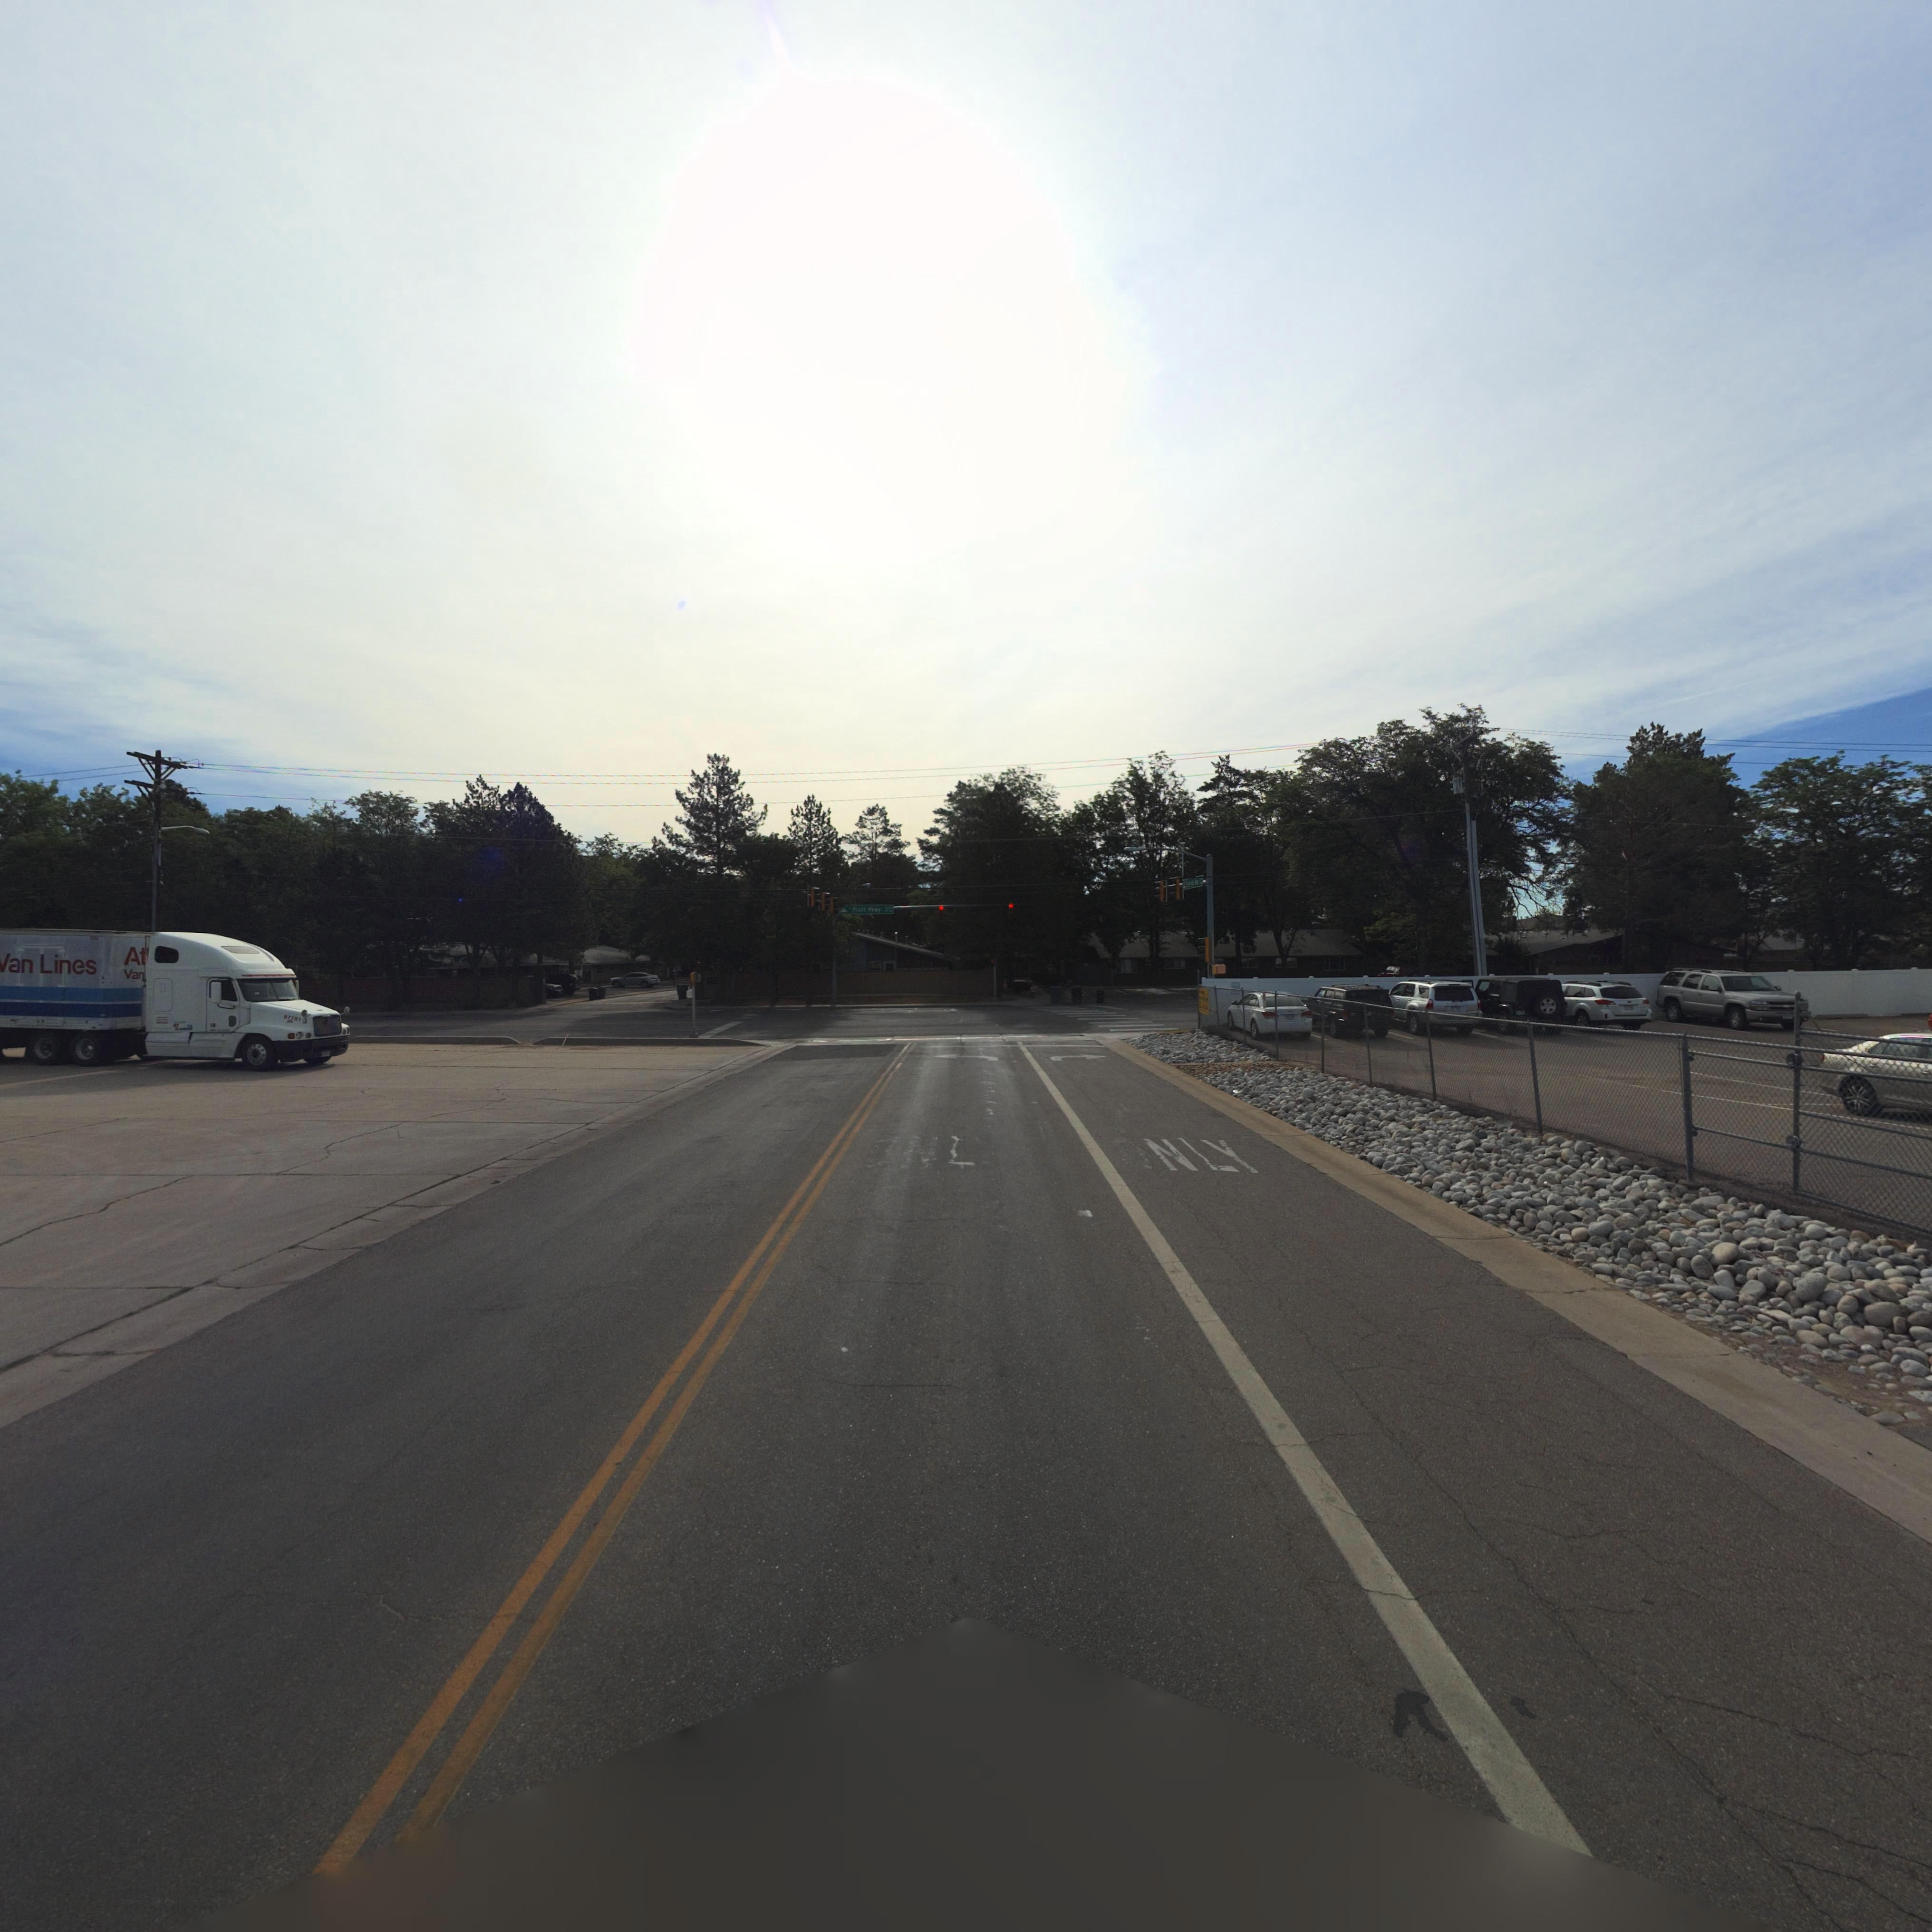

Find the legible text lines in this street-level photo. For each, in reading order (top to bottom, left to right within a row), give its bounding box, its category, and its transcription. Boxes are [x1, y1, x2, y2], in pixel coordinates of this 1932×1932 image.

[852, 907, 881, 913] StreetName: P*a** Pk*y